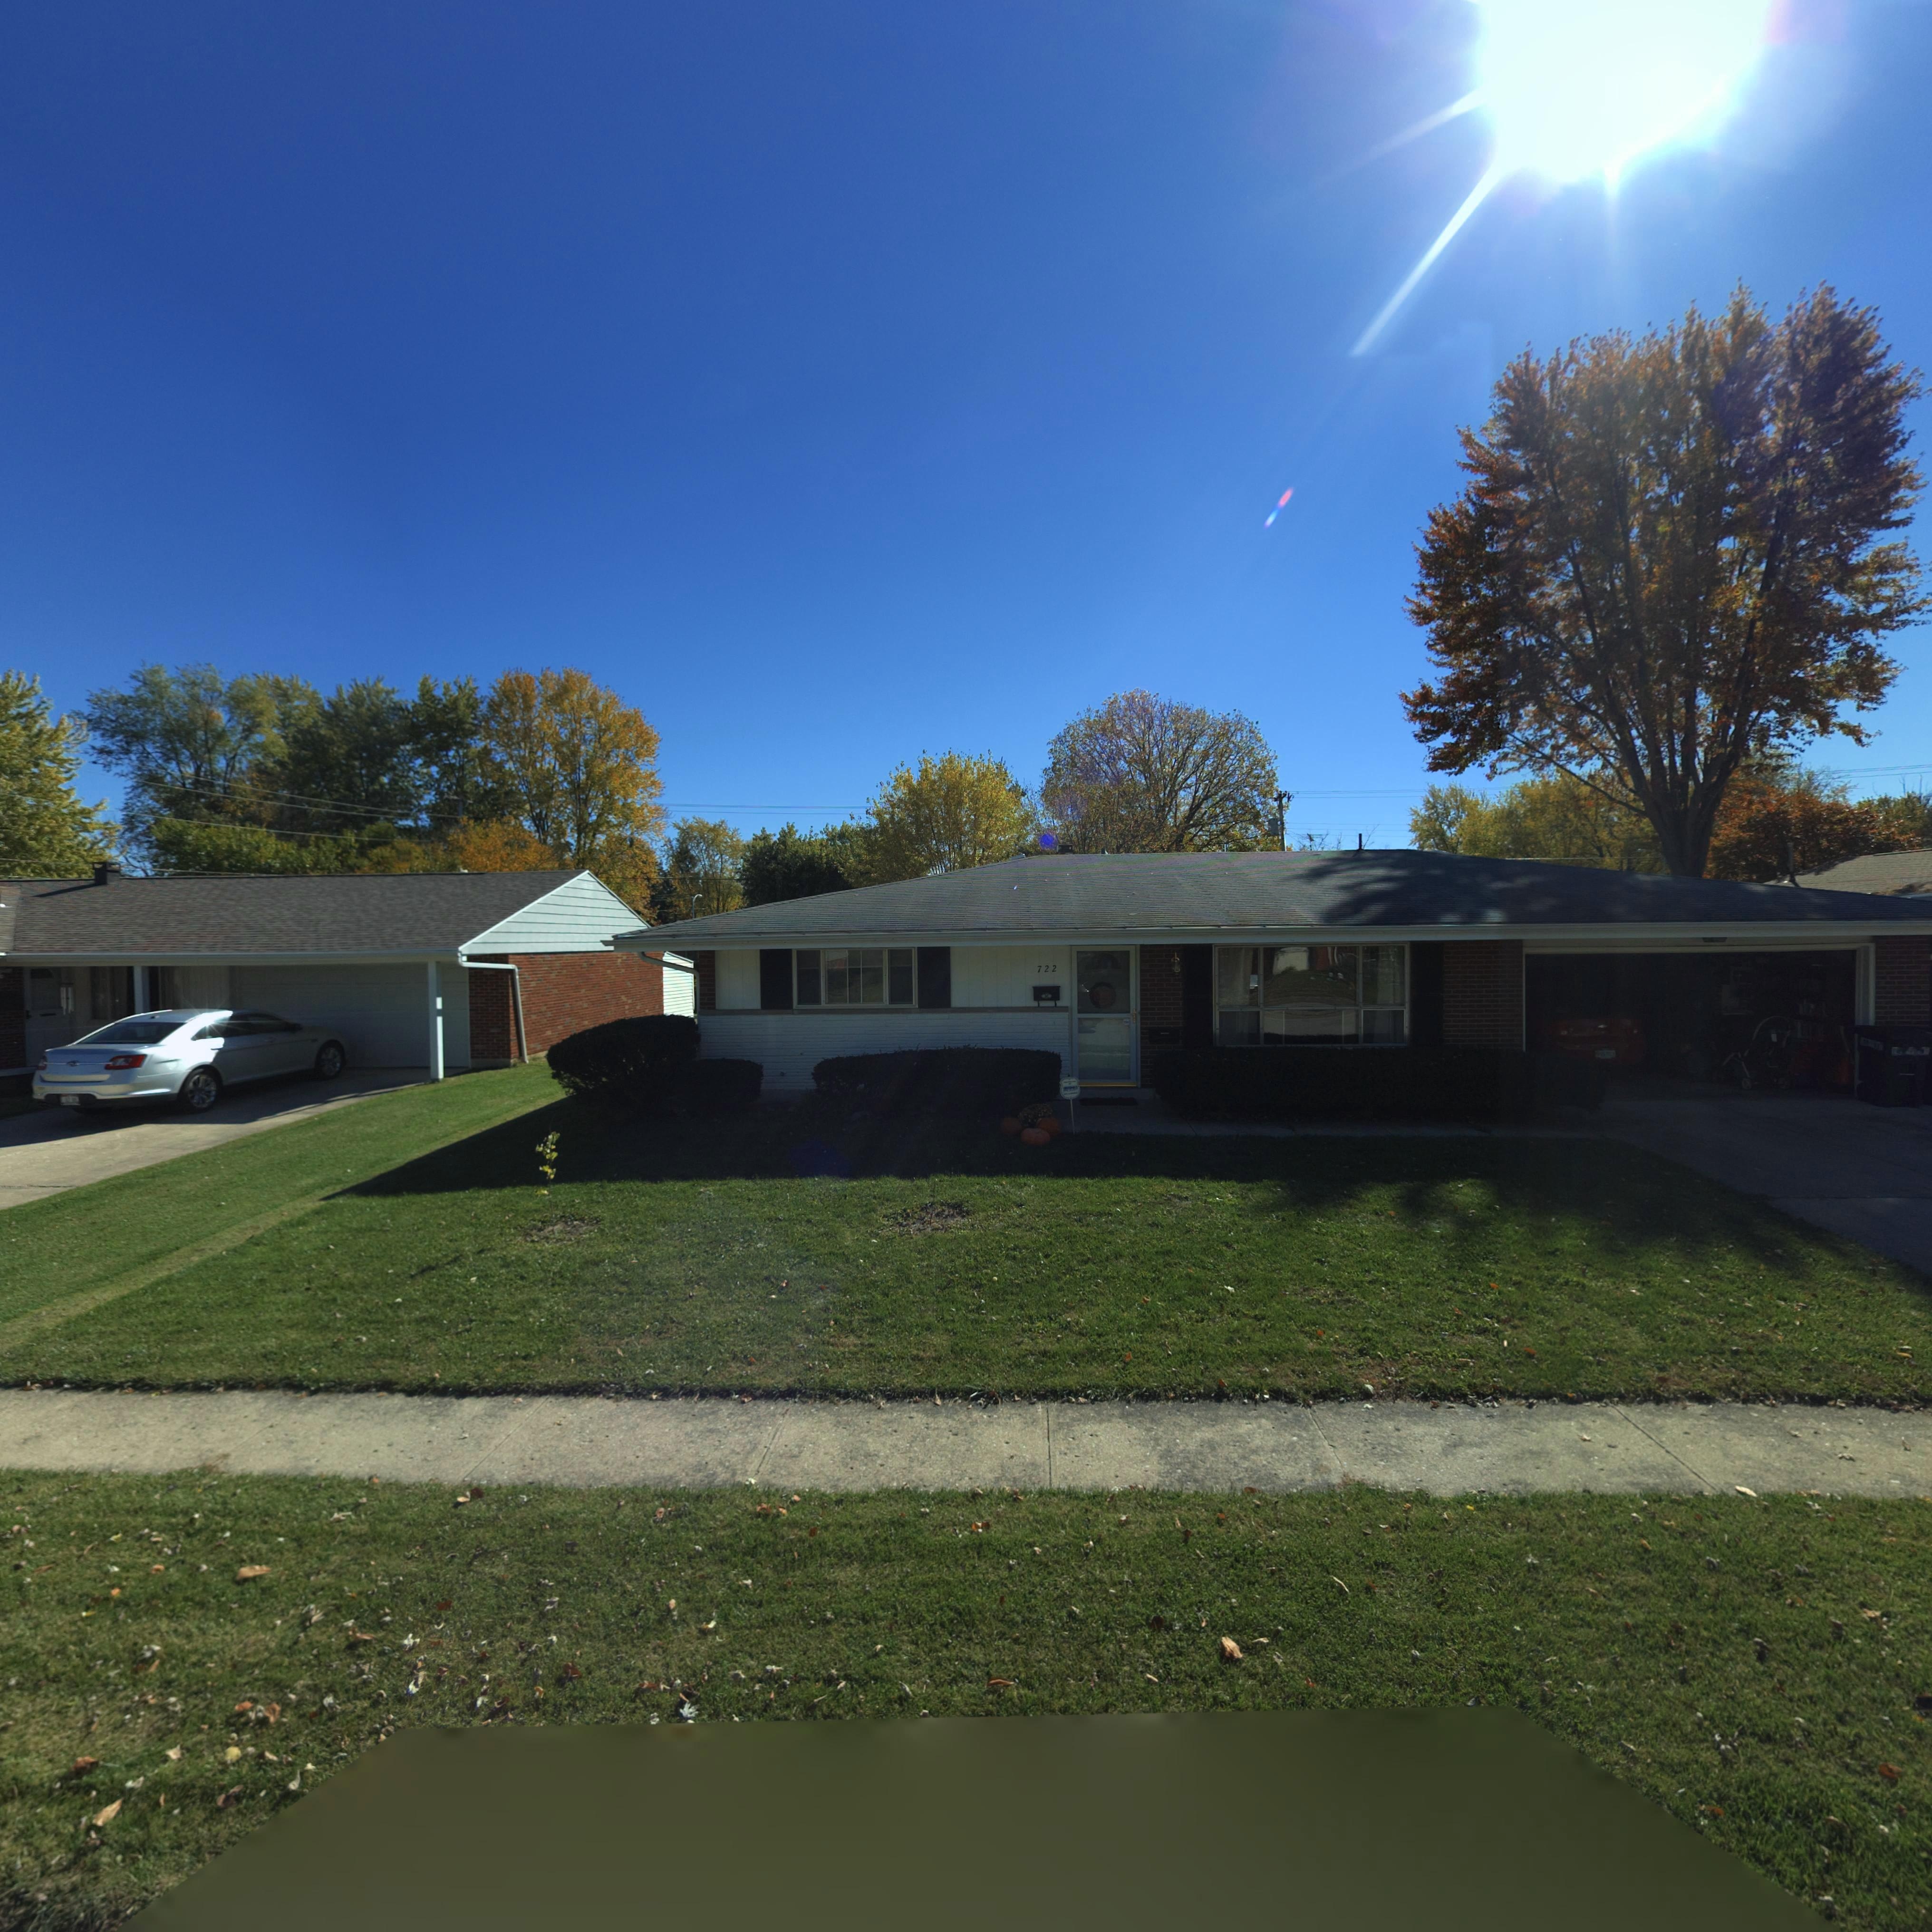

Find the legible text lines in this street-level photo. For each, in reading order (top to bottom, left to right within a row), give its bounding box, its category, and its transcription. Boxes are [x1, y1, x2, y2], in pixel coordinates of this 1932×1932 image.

[1037, 964, 1057, 973] StreetNumber: 722